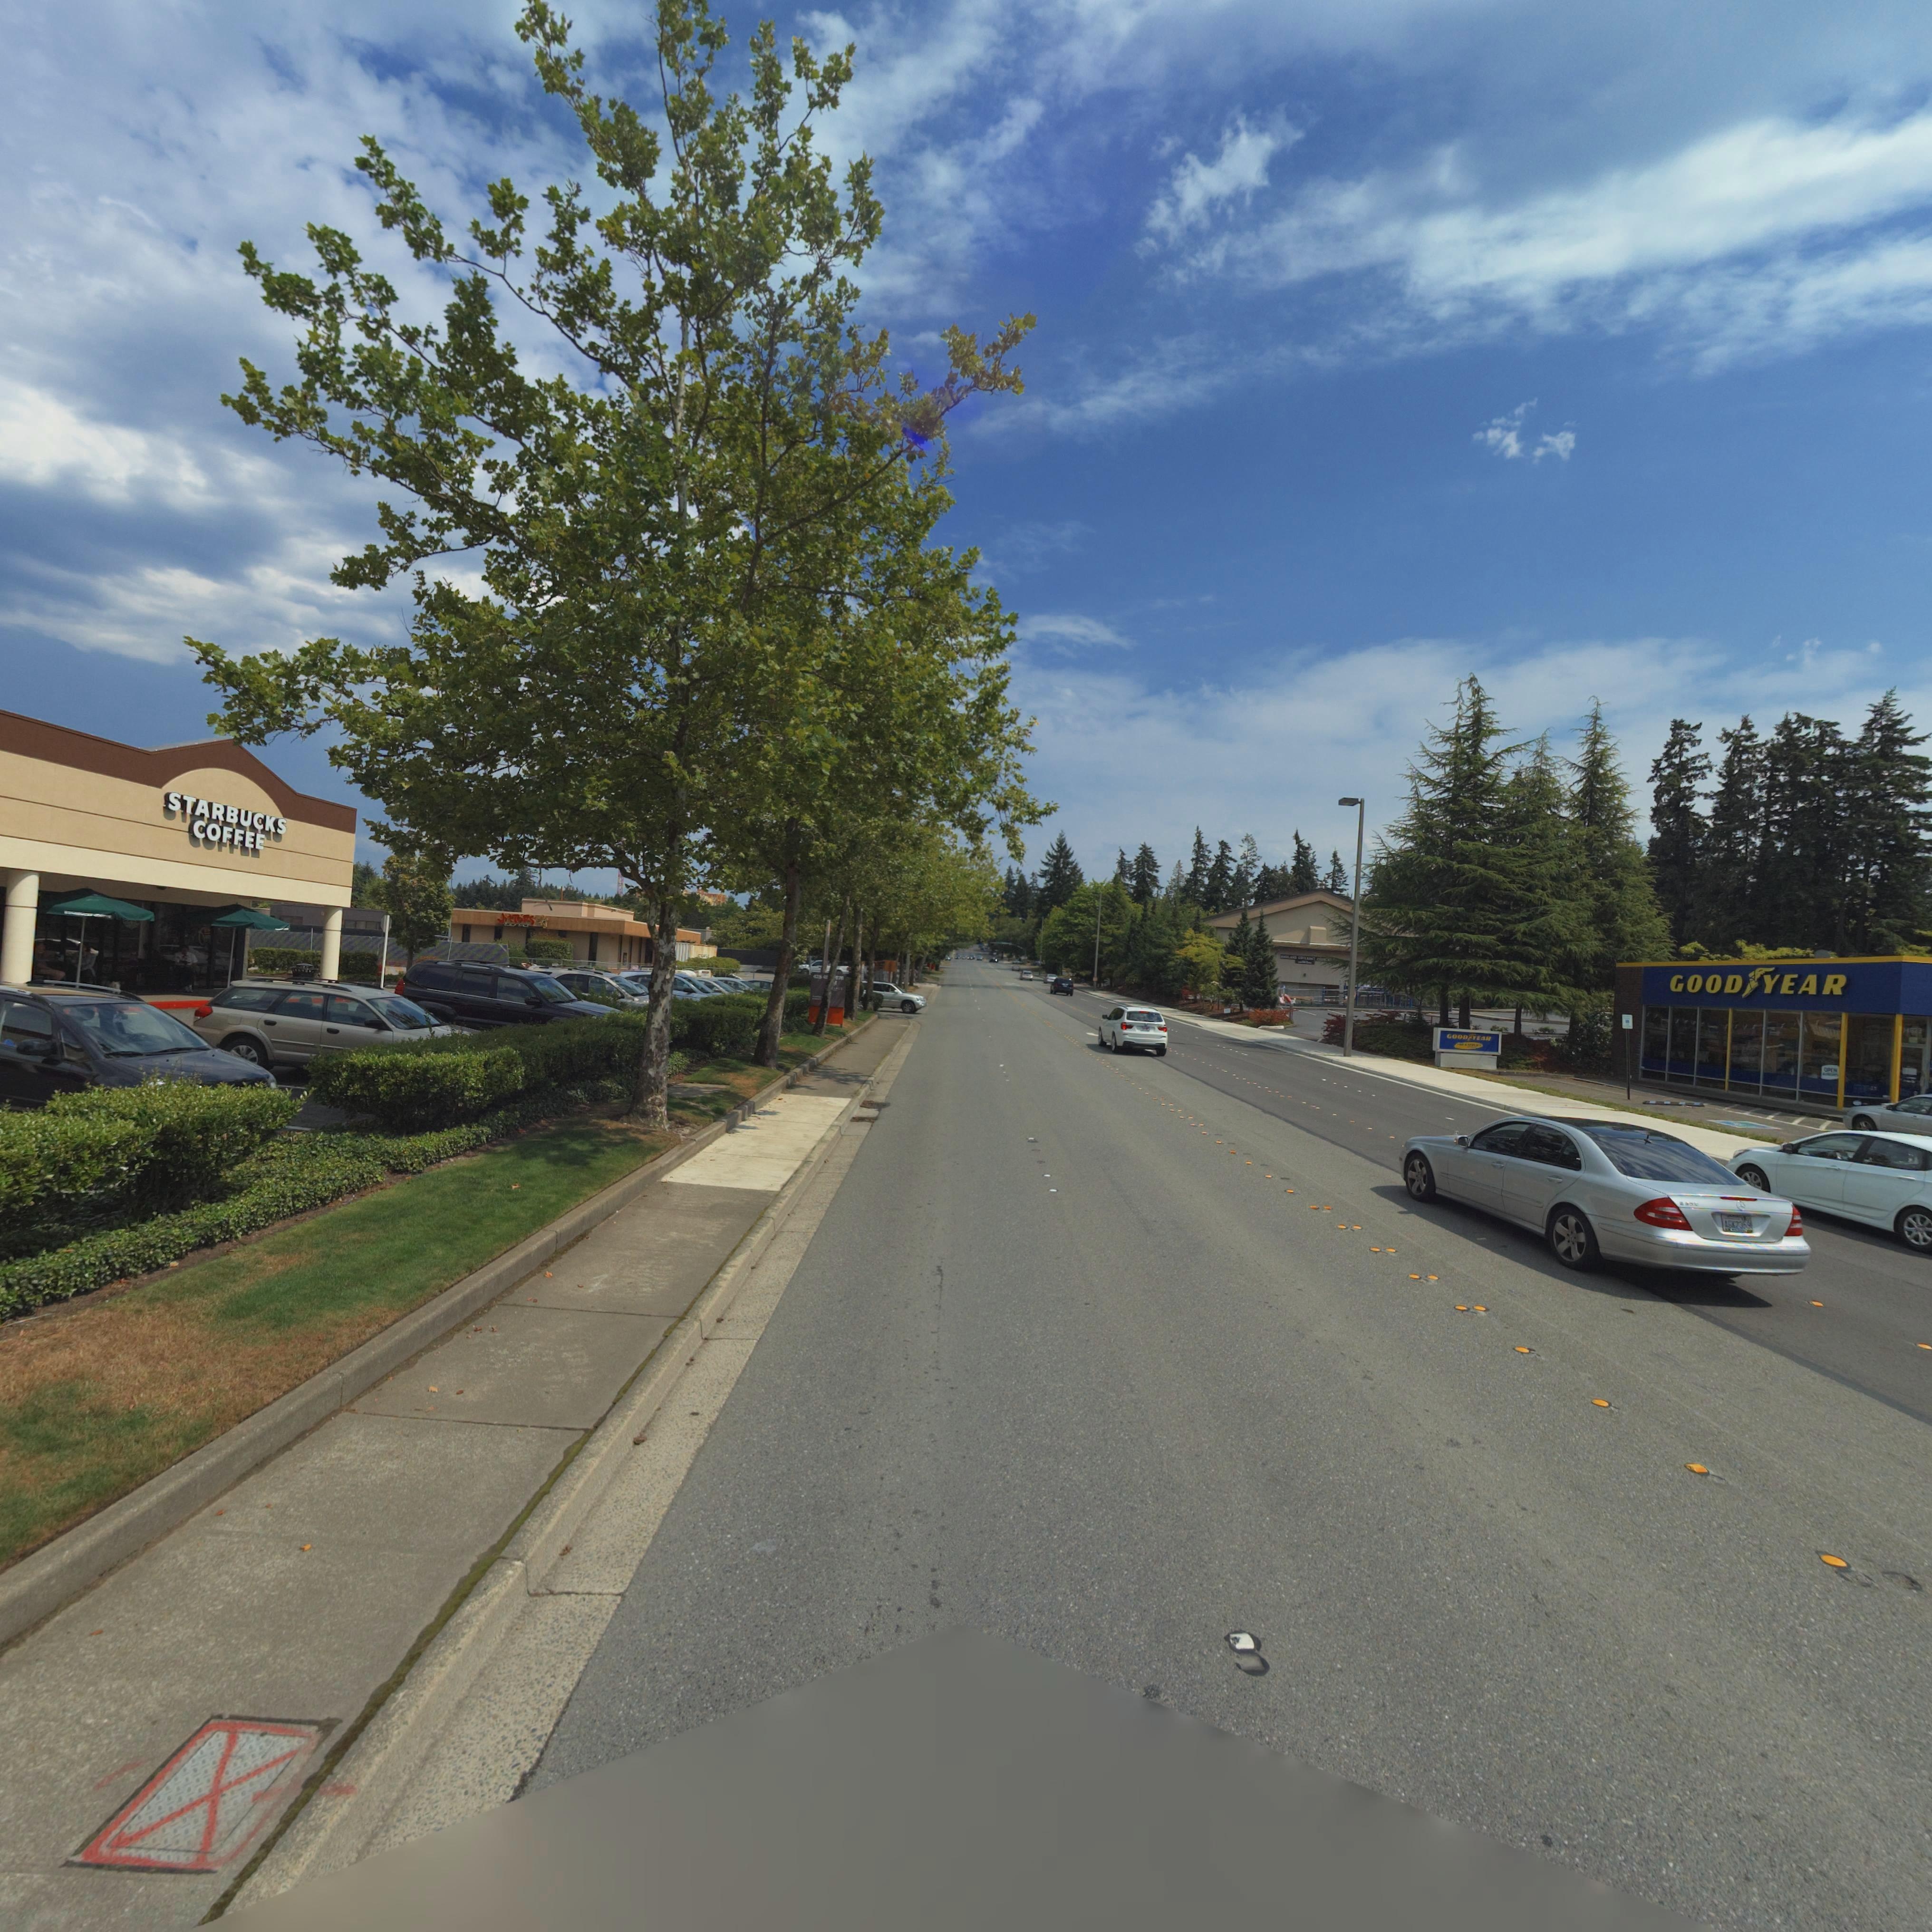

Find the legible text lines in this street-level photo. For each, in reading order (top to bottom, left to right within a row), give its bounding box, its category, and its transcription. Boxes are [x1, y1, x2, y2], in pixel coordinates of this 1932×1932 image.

[169, 792, 287, 835] BusinessName: STARBUCKS
[192, 819, 266, 851] BusinessName: COFFEE
[496, 912, 536, 927] BusinessName: JitTeRS
[1669, 974, 1847, 995] BusinessName: GOOD*YEAR
[1446, 1033, 1492, 1041] BusinessName: GOOD*YEAR